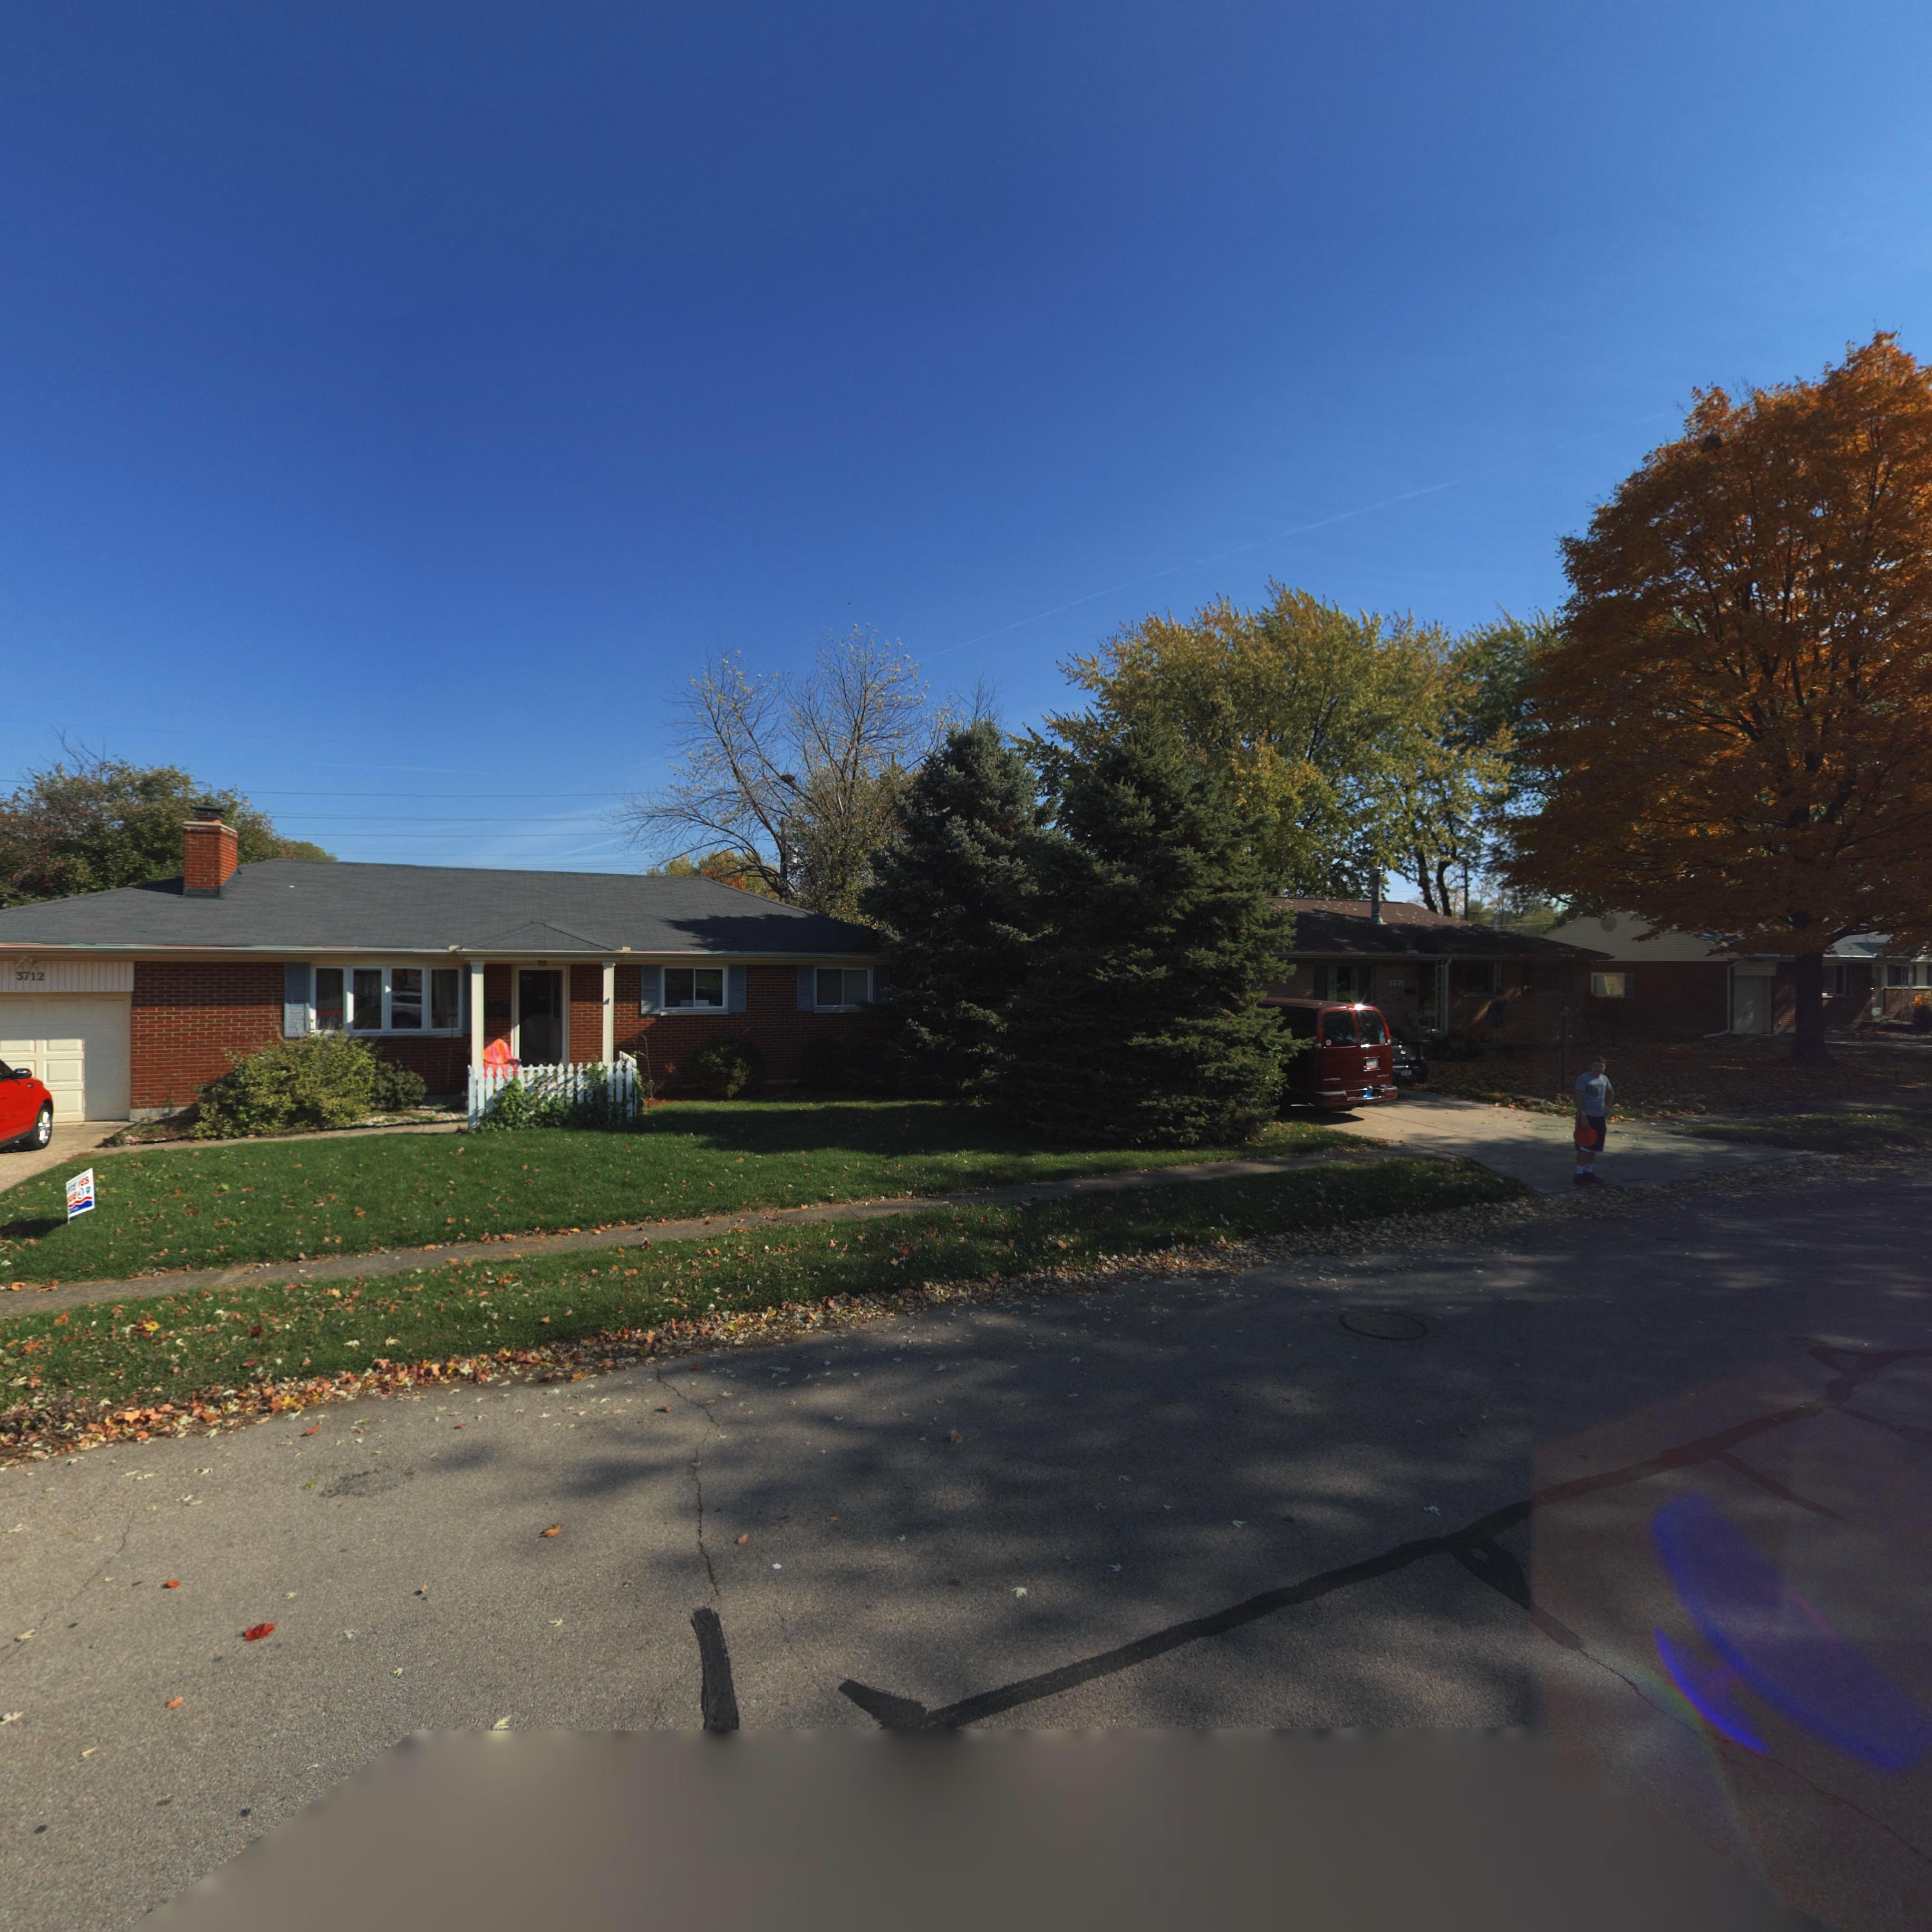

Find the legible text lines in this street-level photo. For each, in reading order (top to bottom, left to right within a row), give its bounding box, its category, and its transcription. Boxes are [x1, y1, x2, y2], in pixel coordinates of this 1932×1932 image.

[14, 970, 47, 982] StreetNumber: 3712
[1387, 977, 1406, 988] StreetNumber: 371*